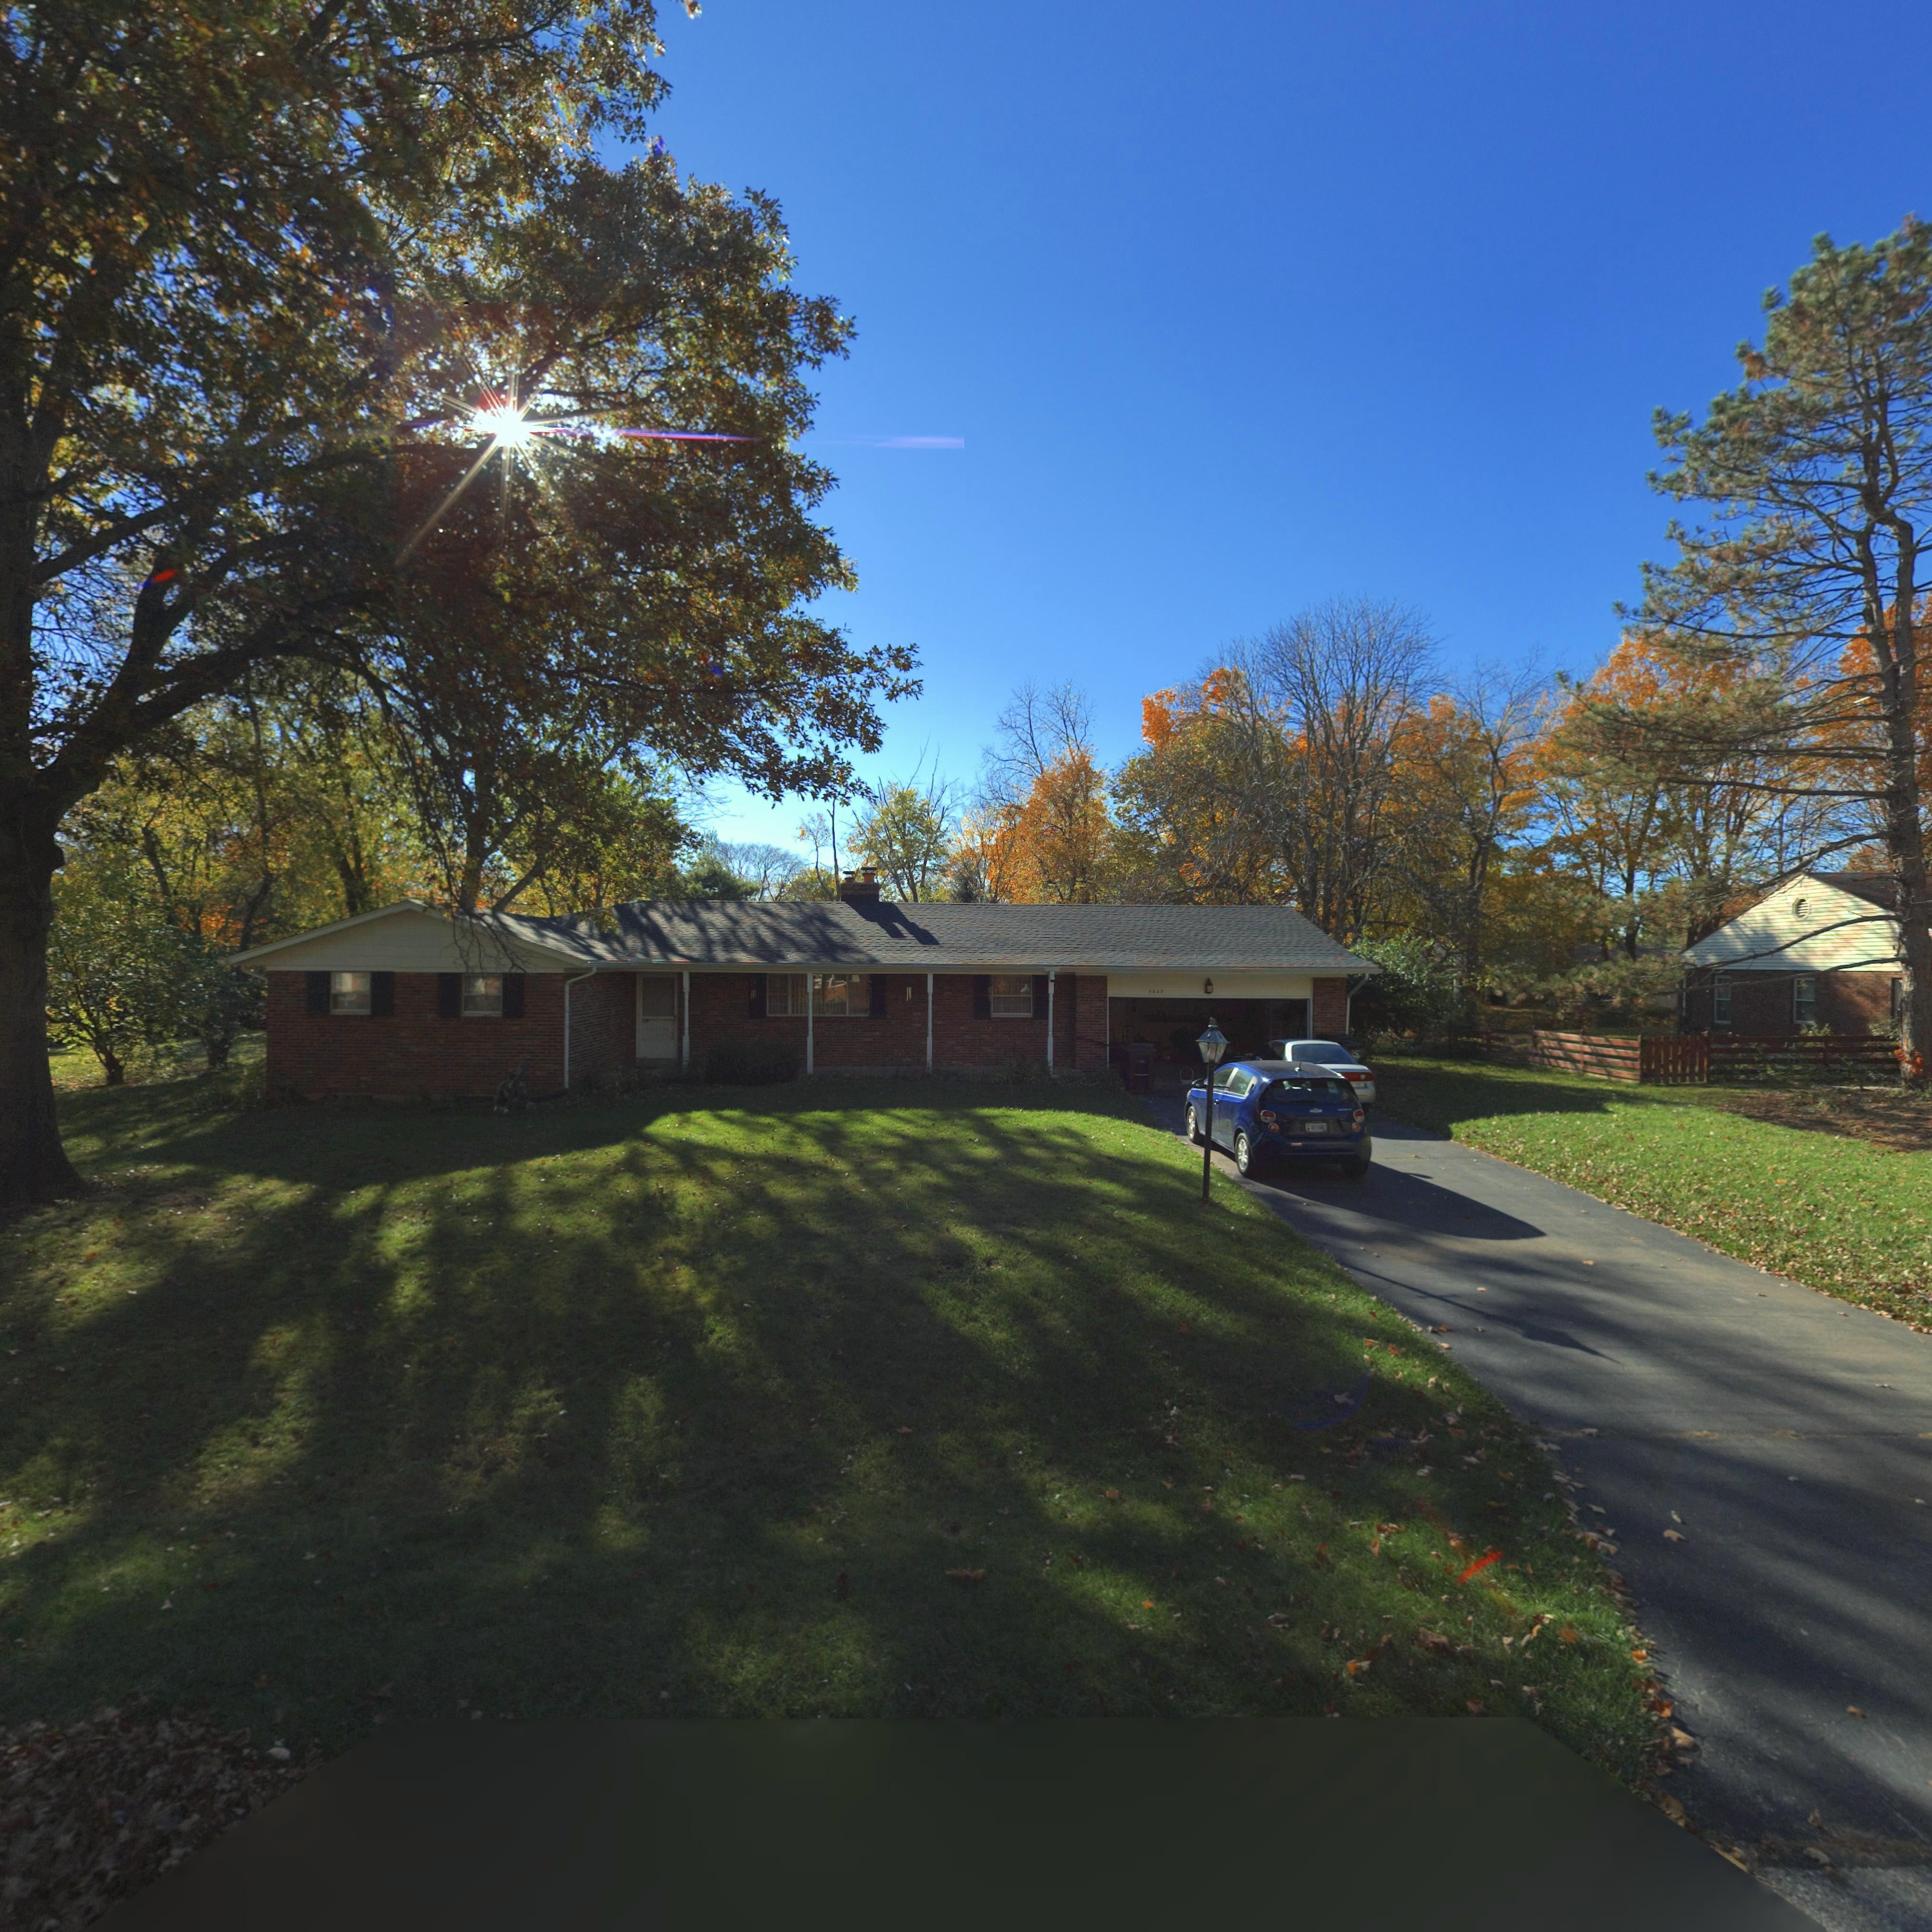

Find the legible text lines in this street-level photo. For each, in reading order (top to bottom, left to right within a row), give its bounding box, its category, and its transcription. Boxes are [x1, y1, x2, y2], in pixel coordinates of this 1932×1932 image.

[1148, 989, 1163, 994] StreetNumber: 5667